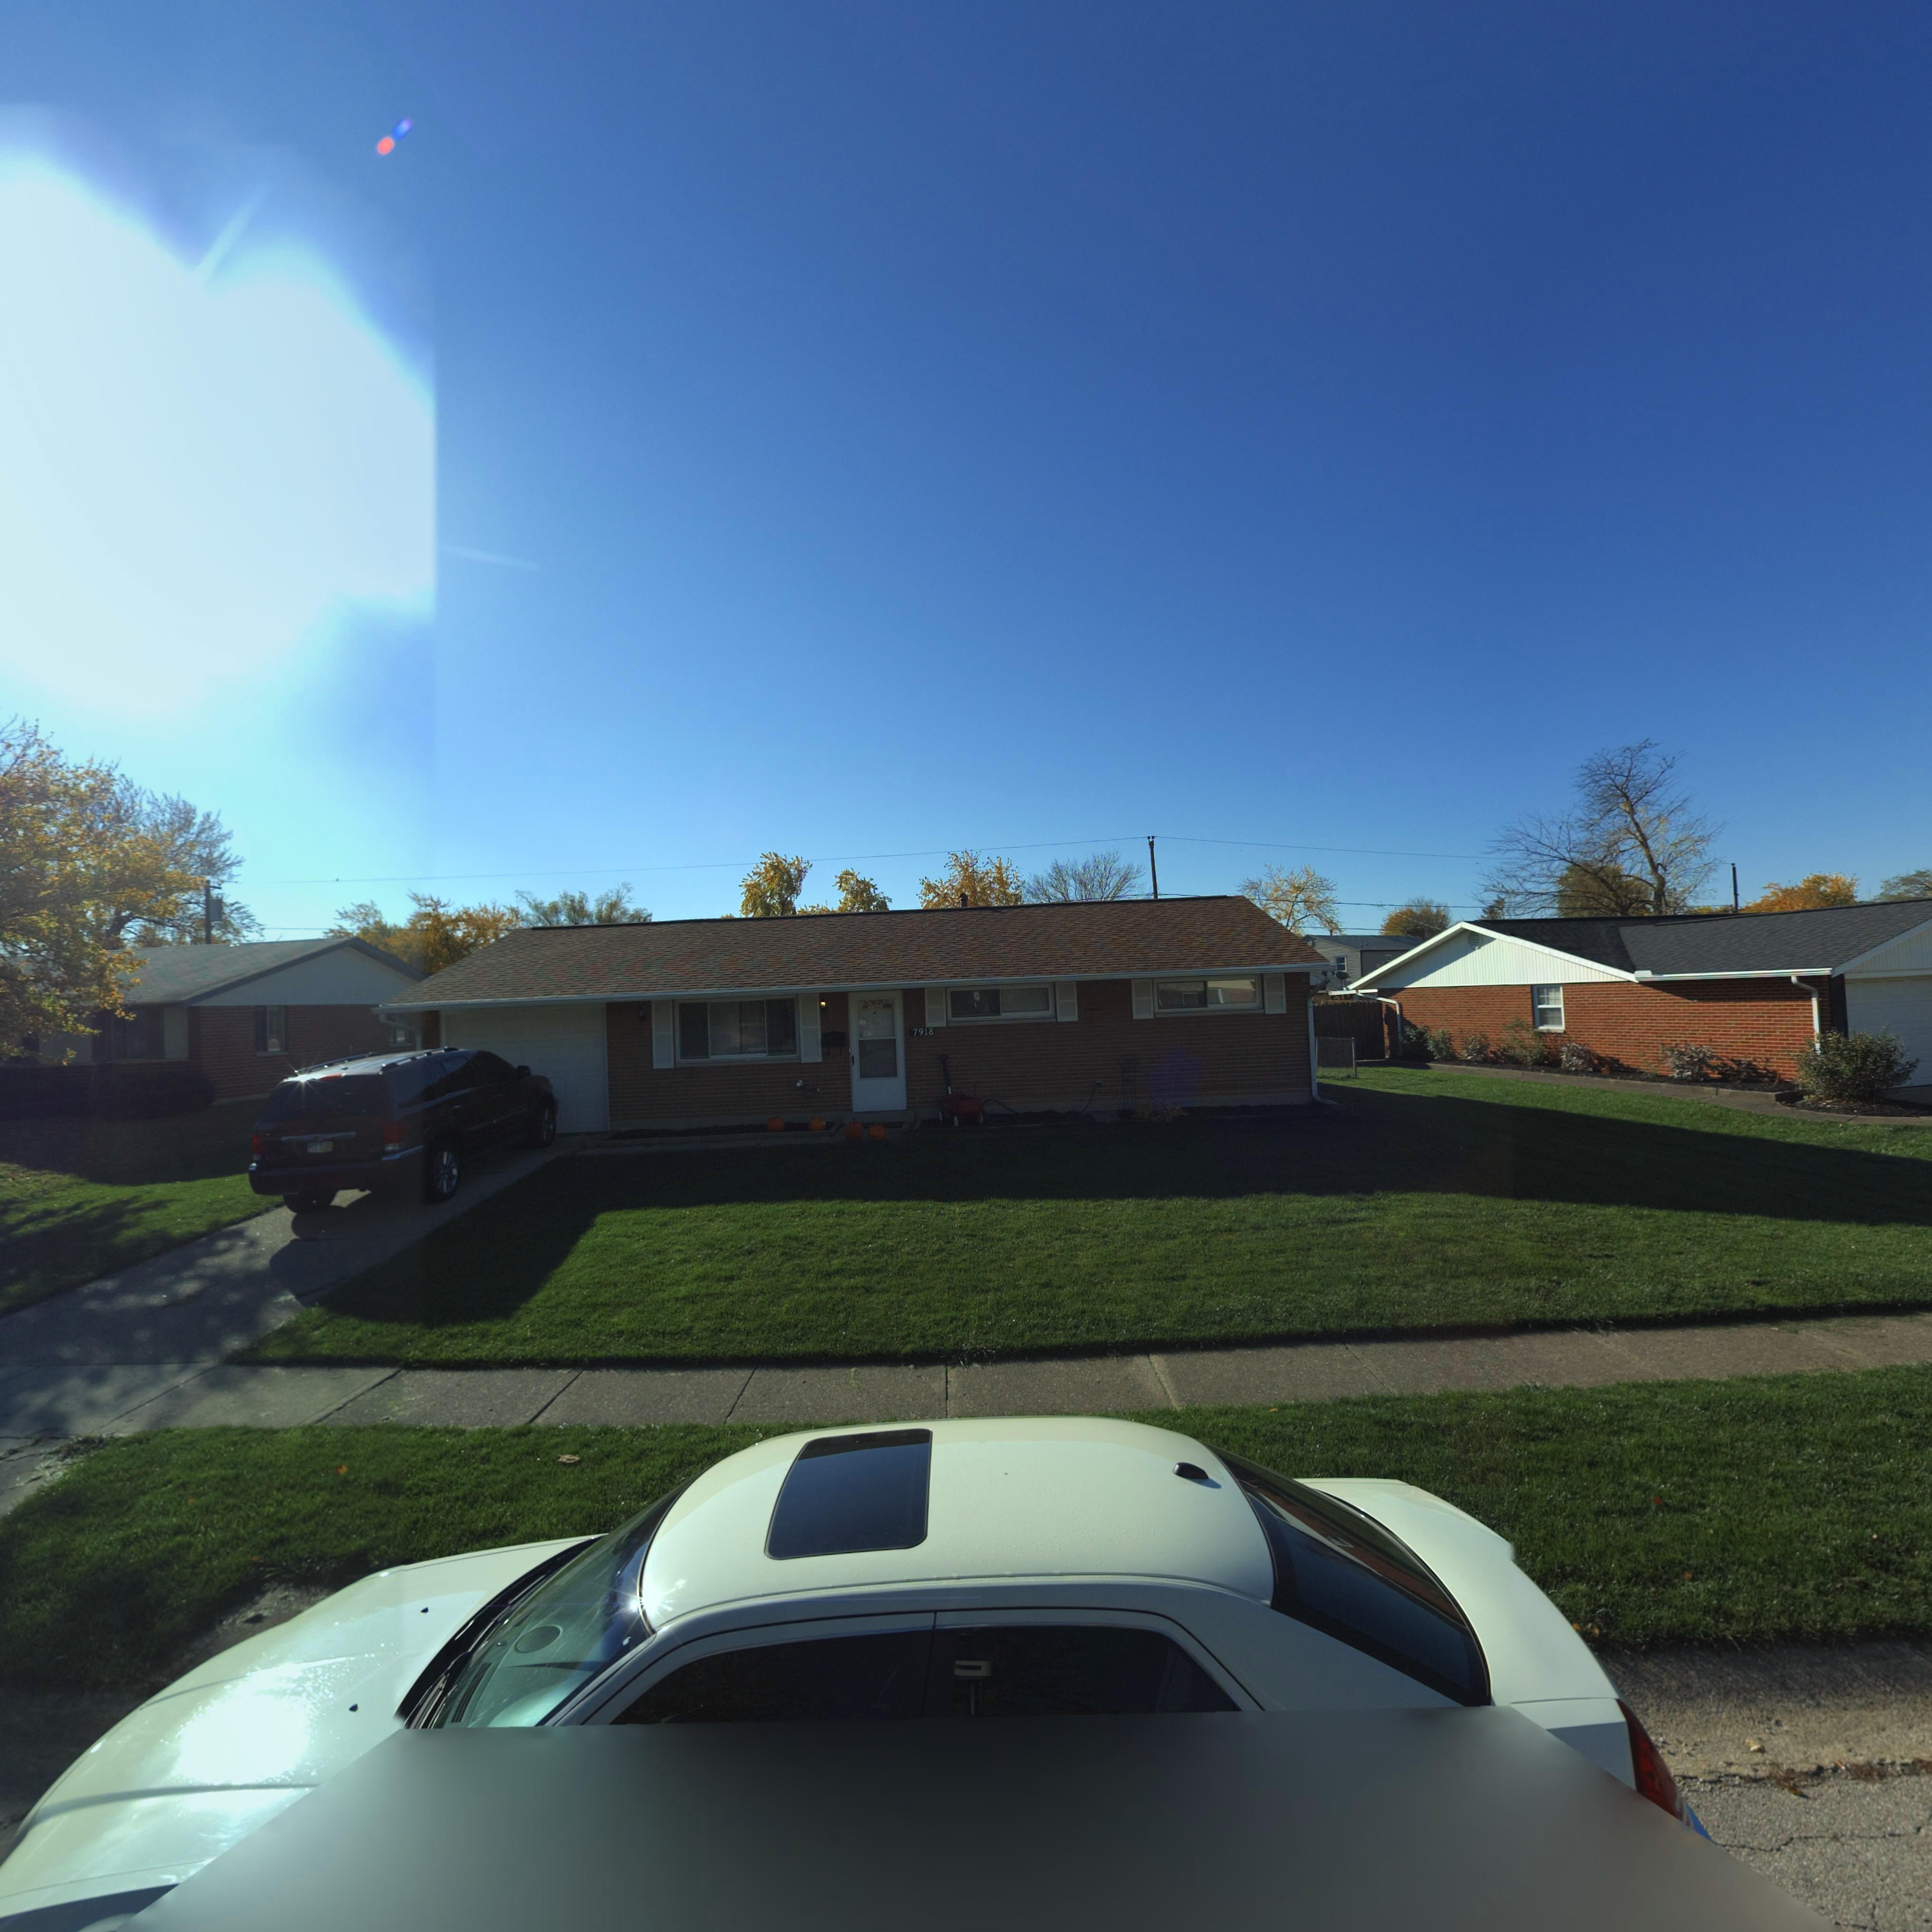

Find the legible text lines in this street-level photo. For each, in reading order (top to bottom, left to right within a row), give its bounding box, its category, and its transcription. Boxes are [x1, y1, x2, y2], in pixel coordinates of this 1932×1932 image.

[912, 1027, 934, 1037] StreetNumber: 7918